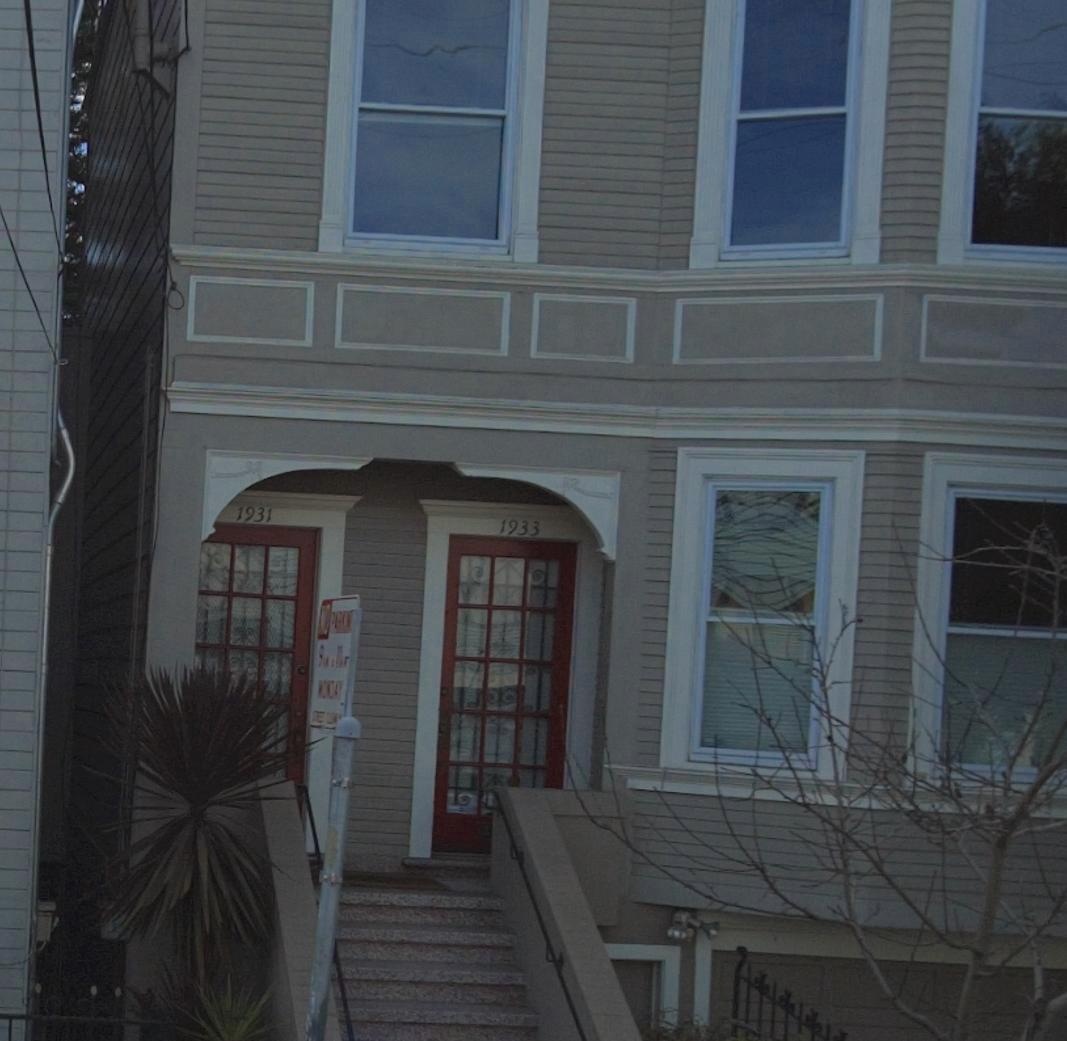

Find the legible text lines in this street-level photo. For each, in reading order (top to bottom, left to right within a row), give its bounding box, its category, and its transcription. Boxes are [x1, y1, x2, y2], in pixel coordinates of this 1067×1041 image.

[235, 504, 274, 524] StreetNumber: 1931
[497, 517, 542, 538] StreetNumber: 1933